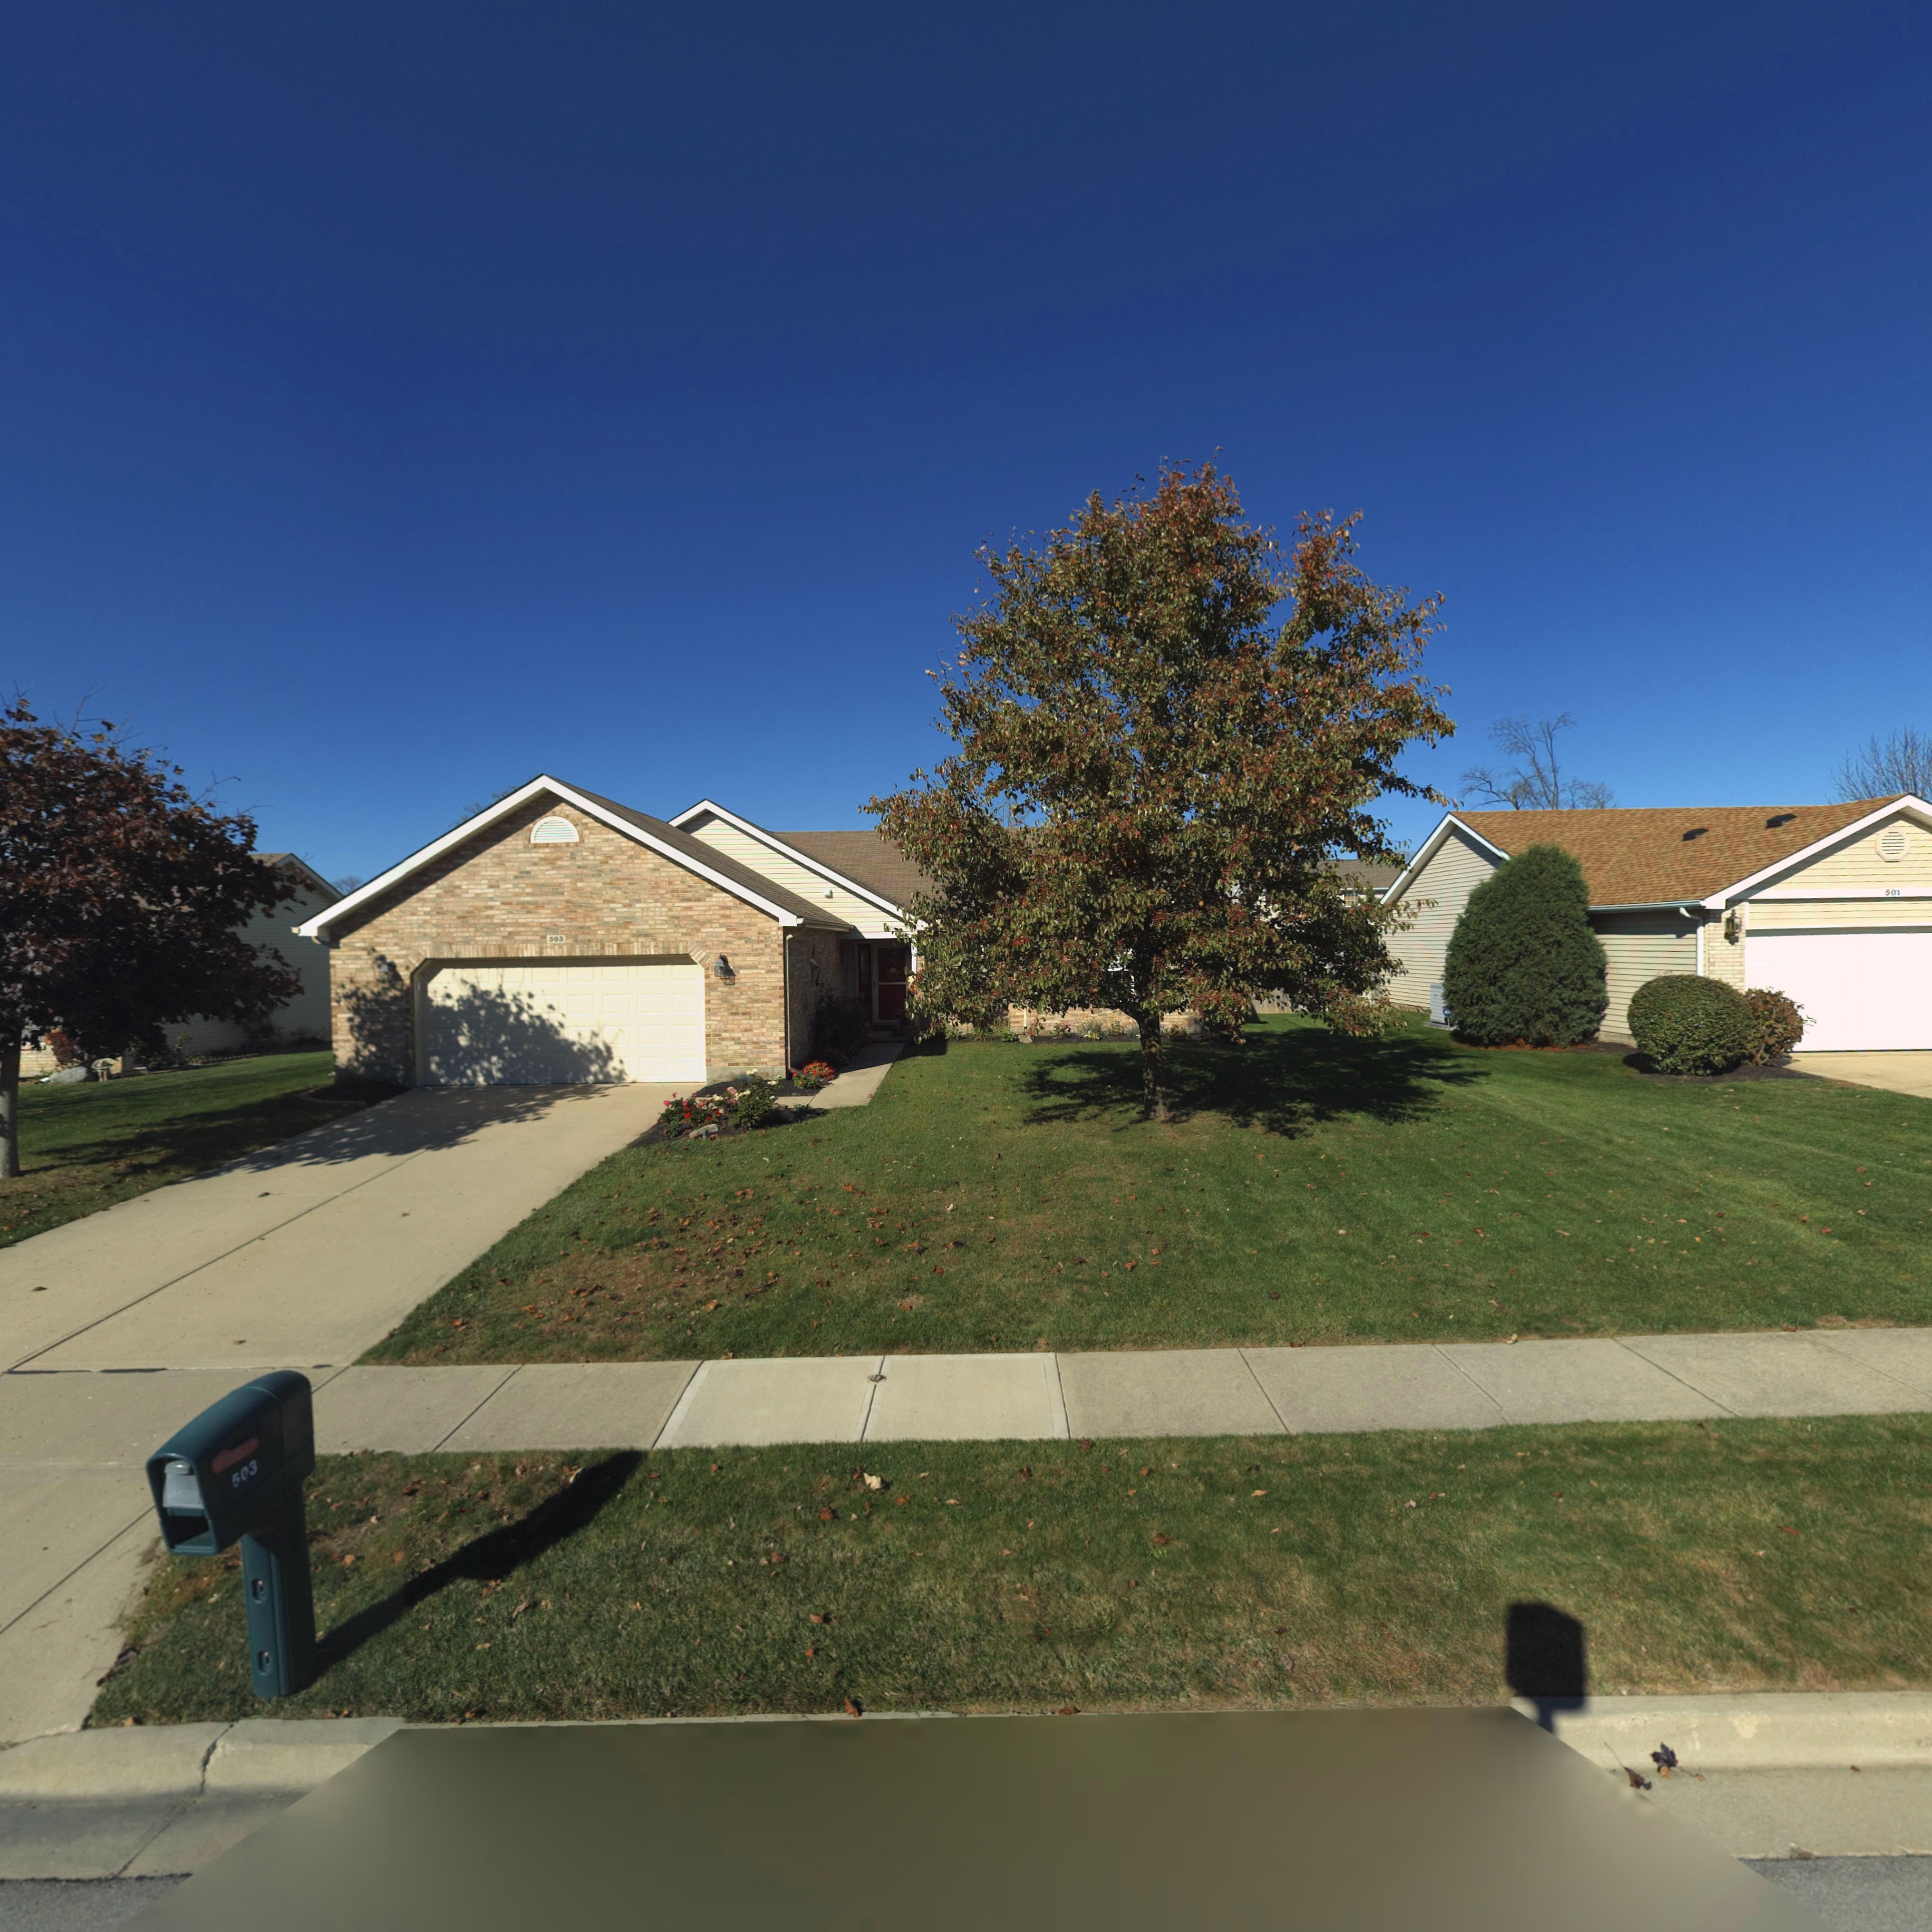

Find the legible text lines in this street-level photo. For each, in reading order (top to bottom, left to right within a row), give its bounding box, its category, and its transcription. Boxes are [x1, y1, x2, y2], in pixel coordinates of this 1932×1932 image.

[1884, 888, 1901, 897] StreetNumber: 501
[548, 935, 565, 943] StreetNumber: 503
[231, 1457, 260, 1489] StreetNumber: 503